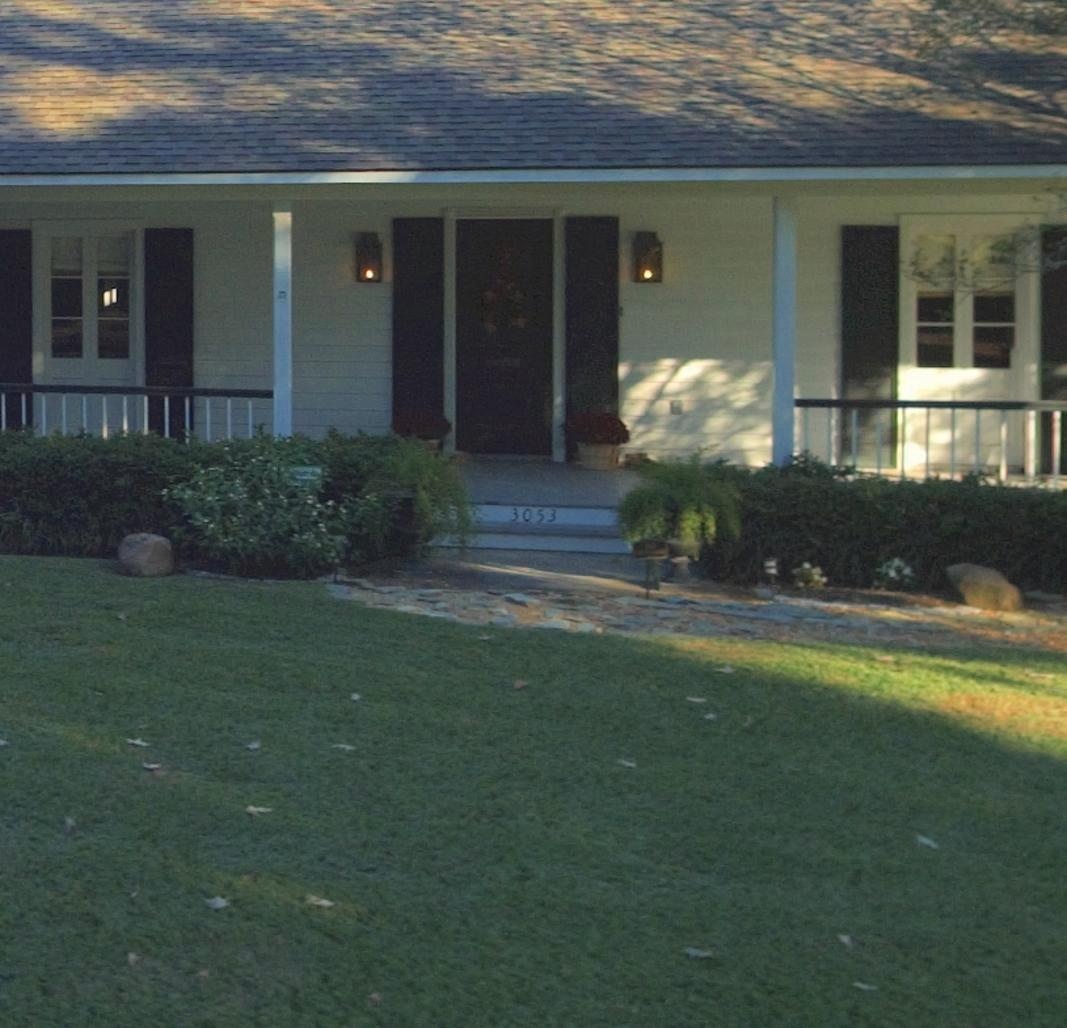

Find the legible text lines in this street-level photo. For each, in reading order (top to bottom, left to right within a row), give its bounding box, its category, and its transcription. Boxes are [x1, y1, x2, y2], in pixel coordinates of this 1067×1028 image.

[510, 507, 558, 524] StreetNumber: 3053